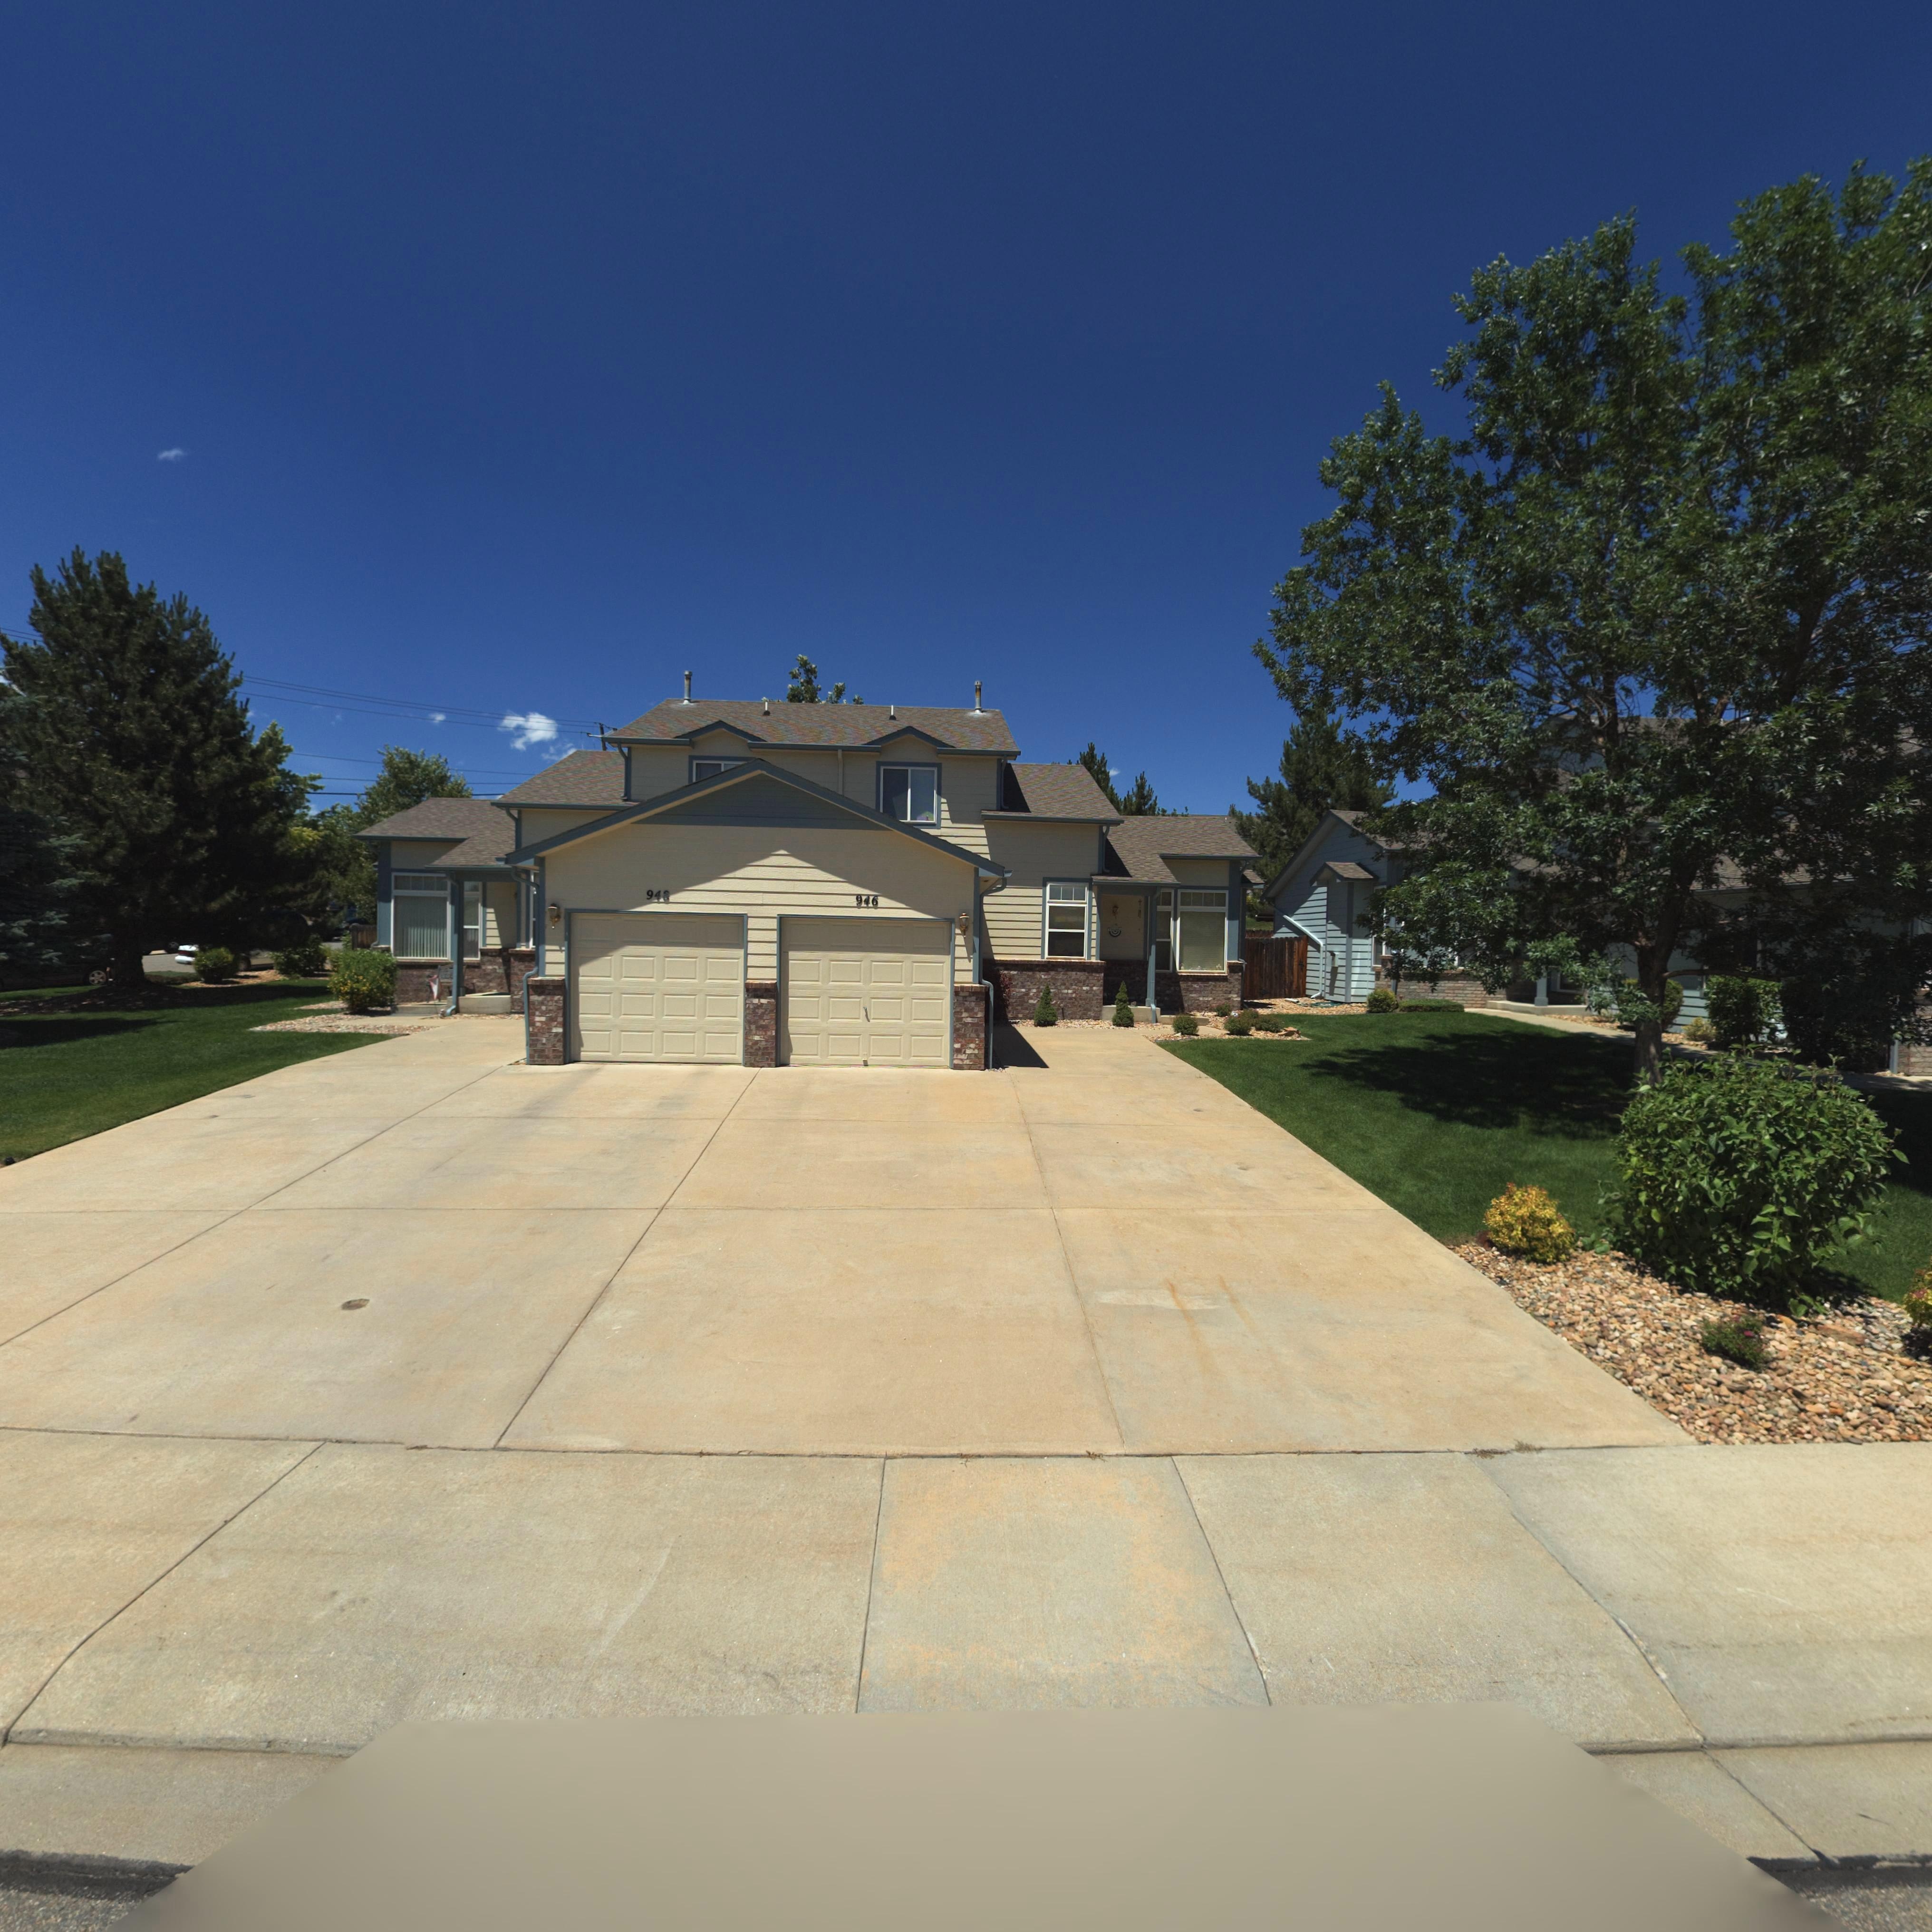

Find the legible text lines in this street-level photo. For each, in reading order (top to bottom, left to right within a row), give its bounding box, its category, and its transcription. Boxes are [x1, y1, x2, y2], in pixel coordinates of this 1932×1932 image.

[646, 889, 670, 900] StreetNumber: 948
[855, 894, 878, 906] StreetNumber: 946